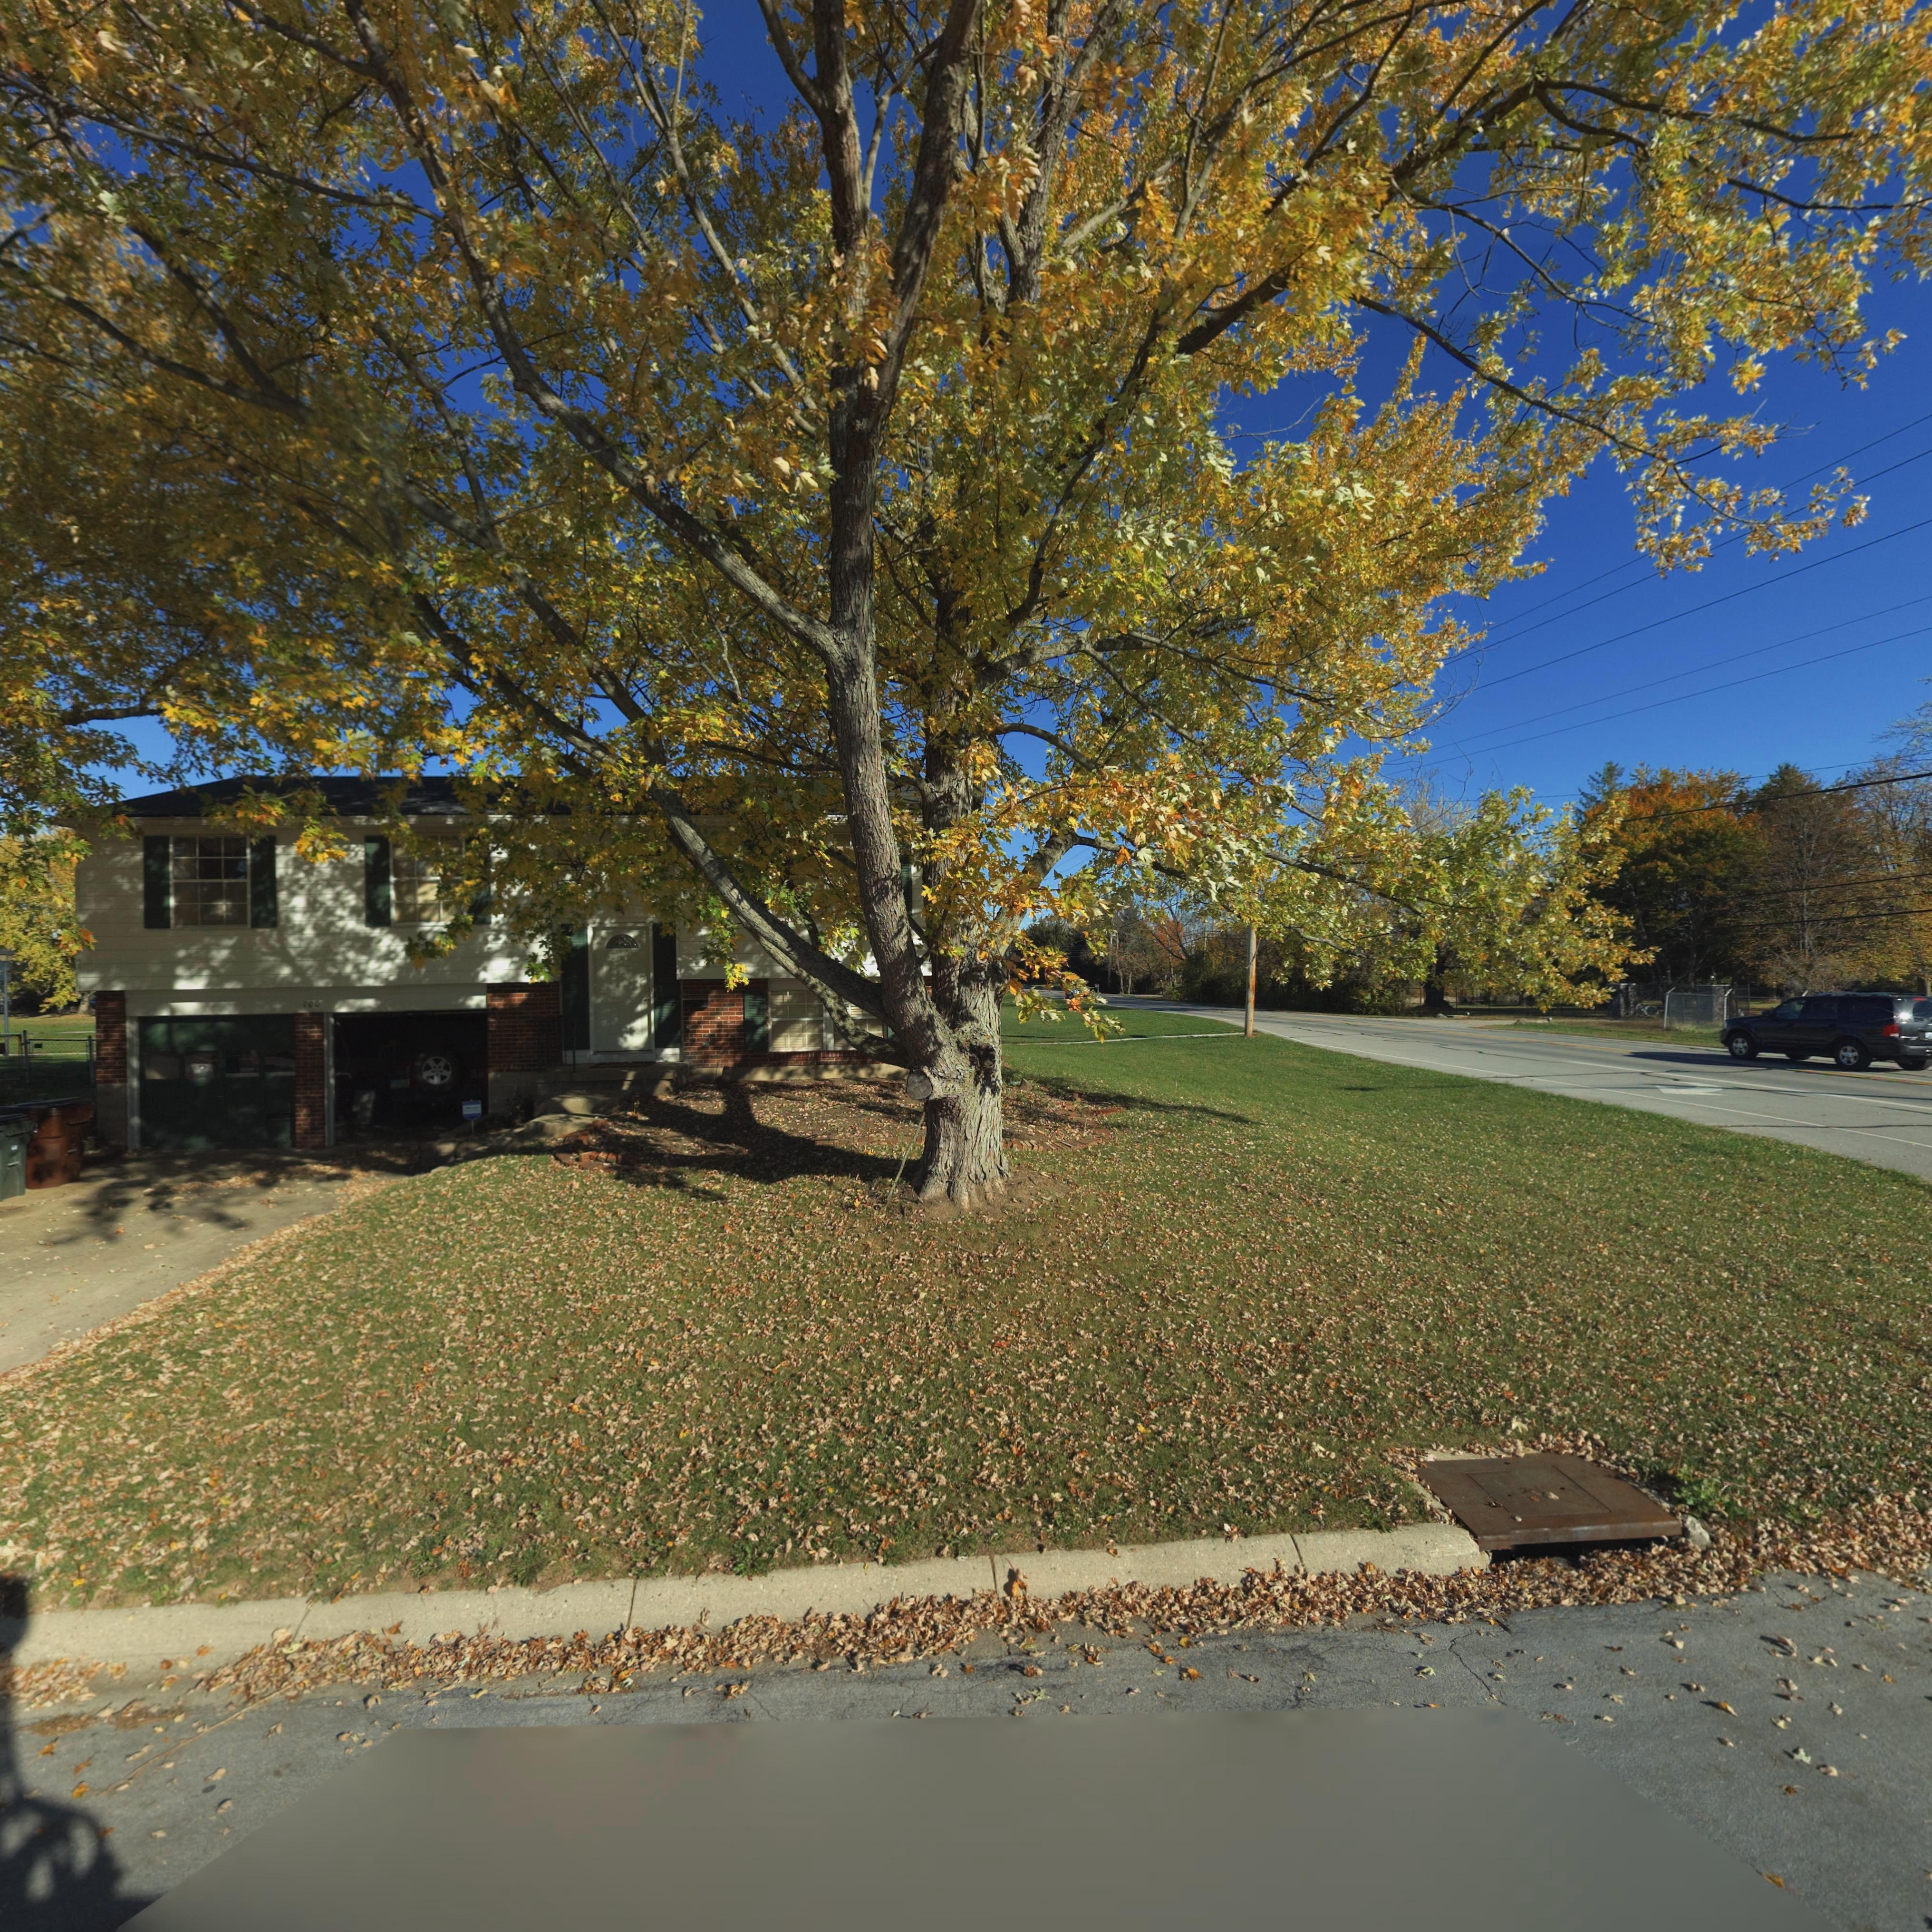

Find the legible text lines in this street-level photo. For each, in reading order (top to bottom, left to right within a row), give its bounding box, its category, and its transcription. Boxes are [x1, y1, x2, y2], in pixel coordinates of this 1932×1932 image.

[302, 999, 320, 1008] StreetNumber: 100